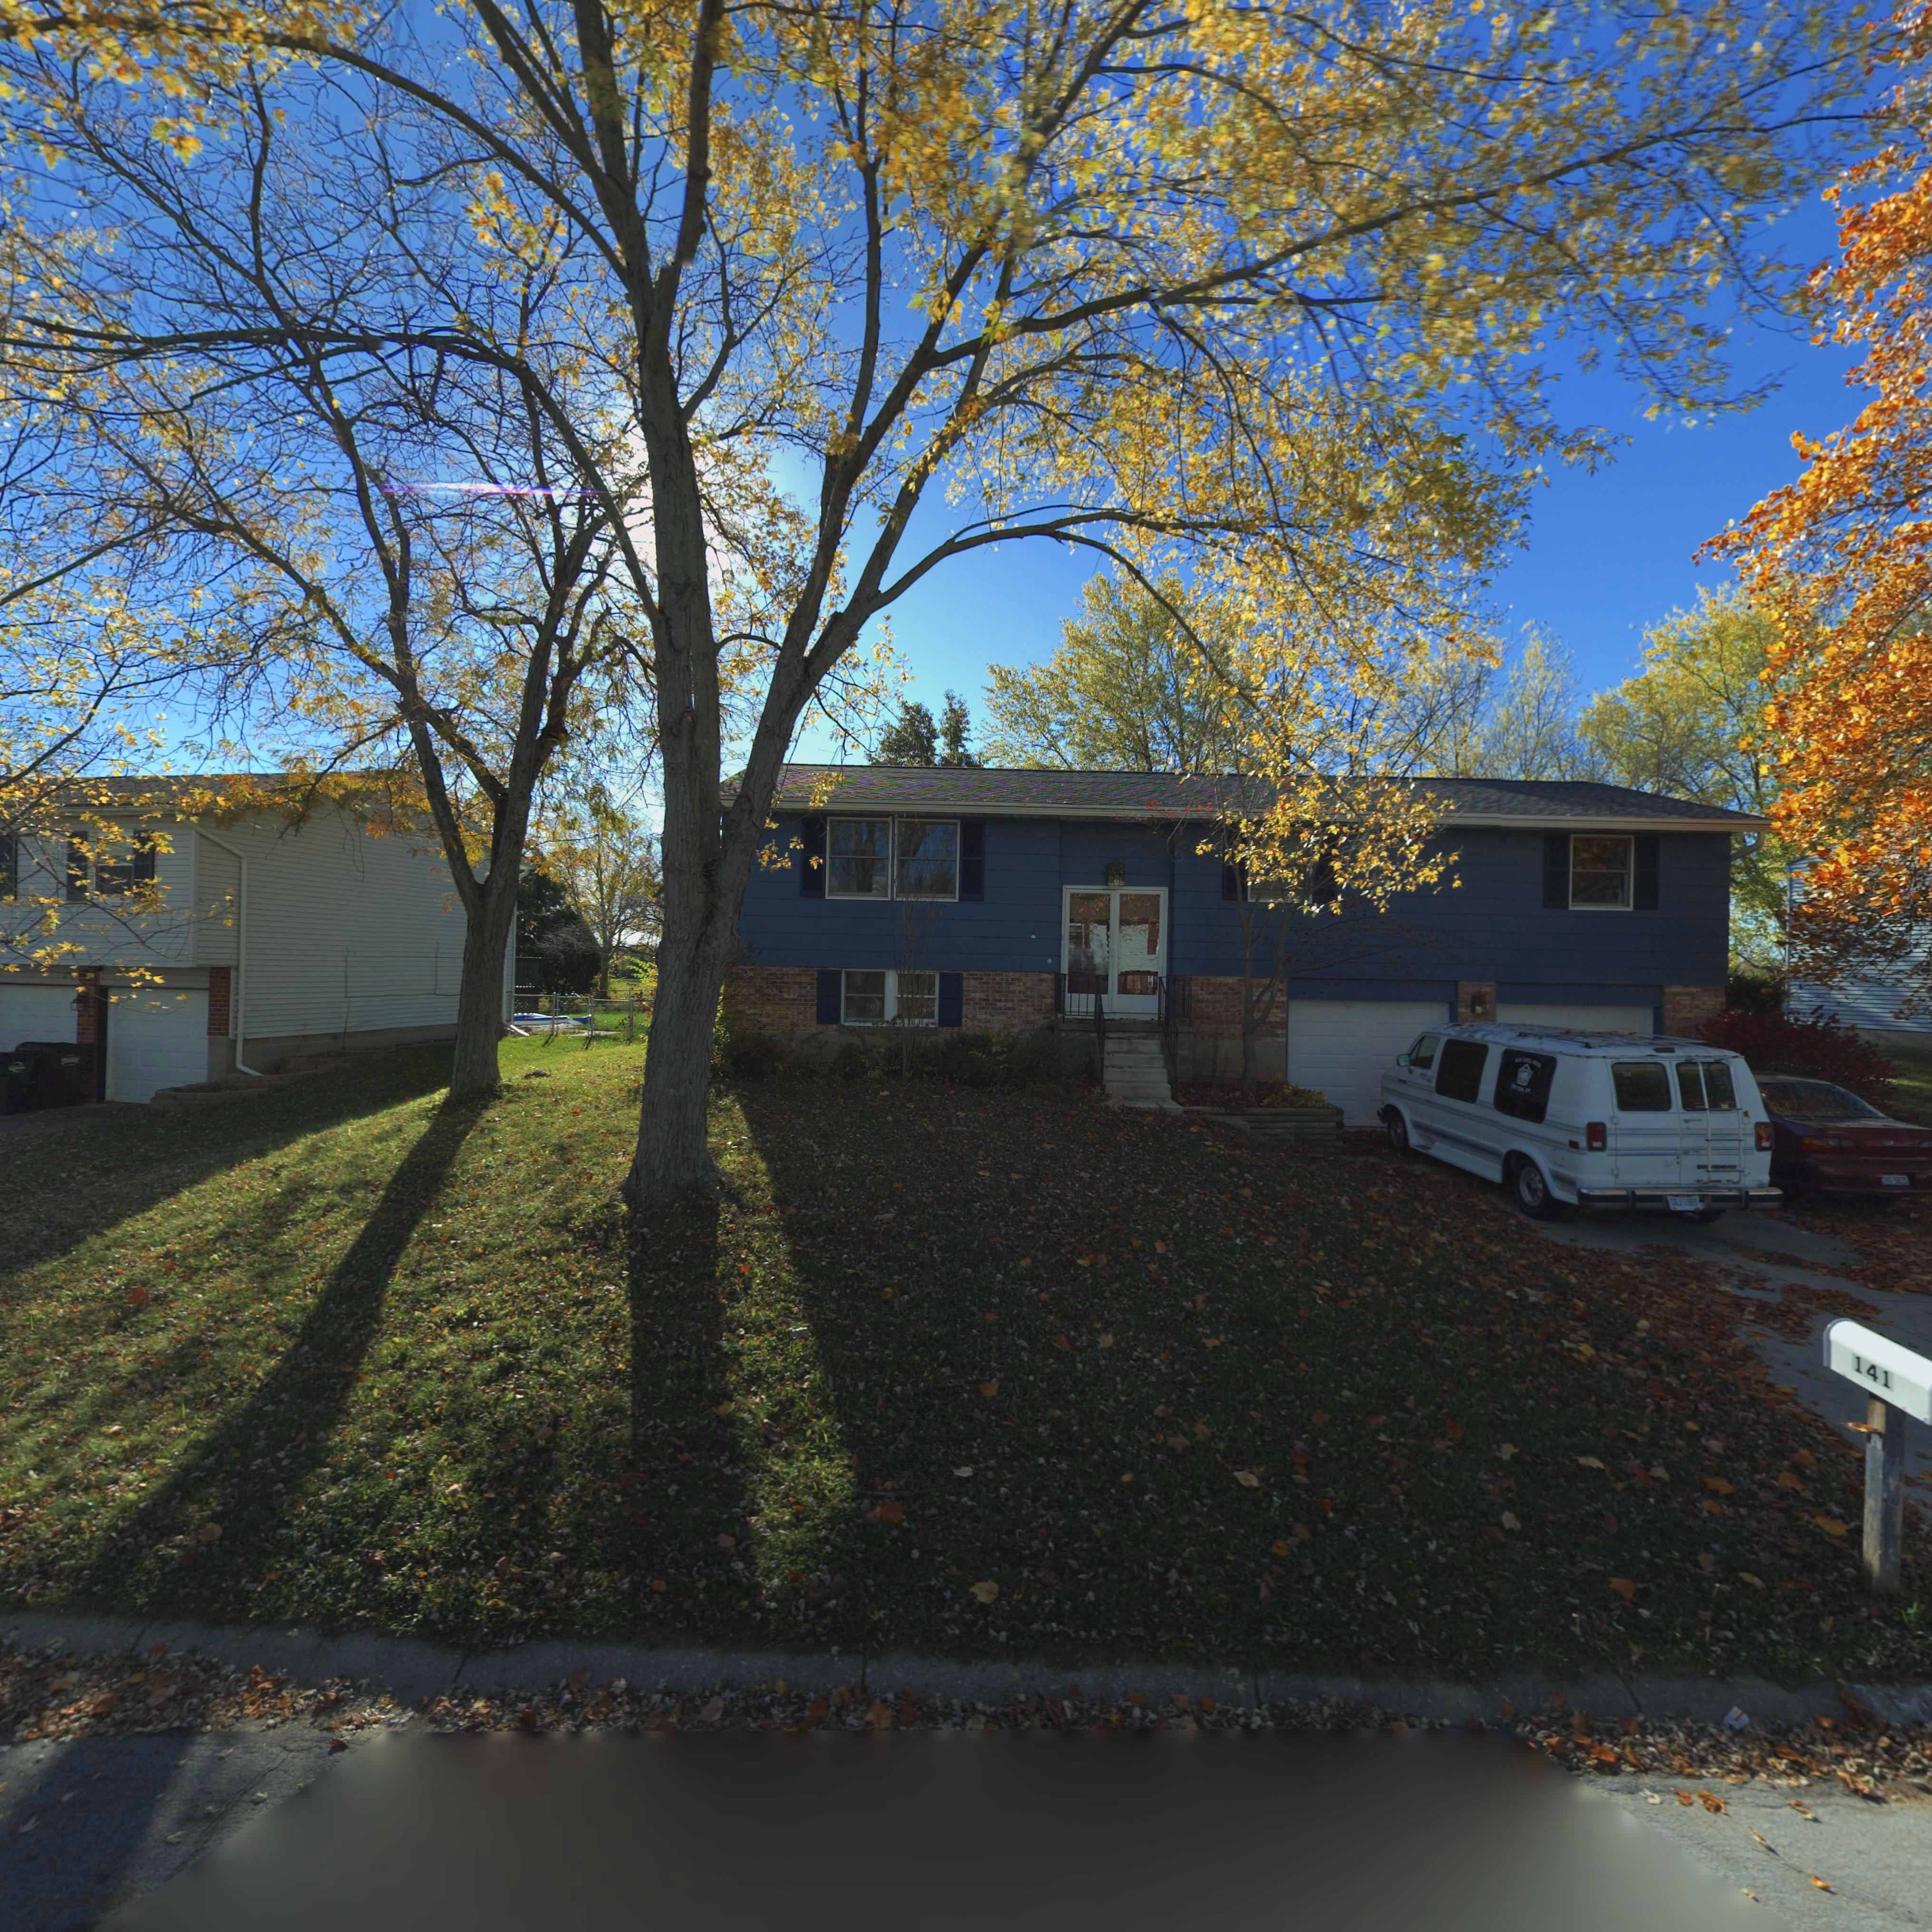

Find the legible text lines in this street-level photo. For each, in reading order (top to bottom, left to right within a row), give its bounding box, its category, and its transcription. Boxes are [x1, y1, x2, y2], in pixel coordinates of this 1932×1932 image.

[1855, 1354, 1891, 1390] StreetNumber: 141